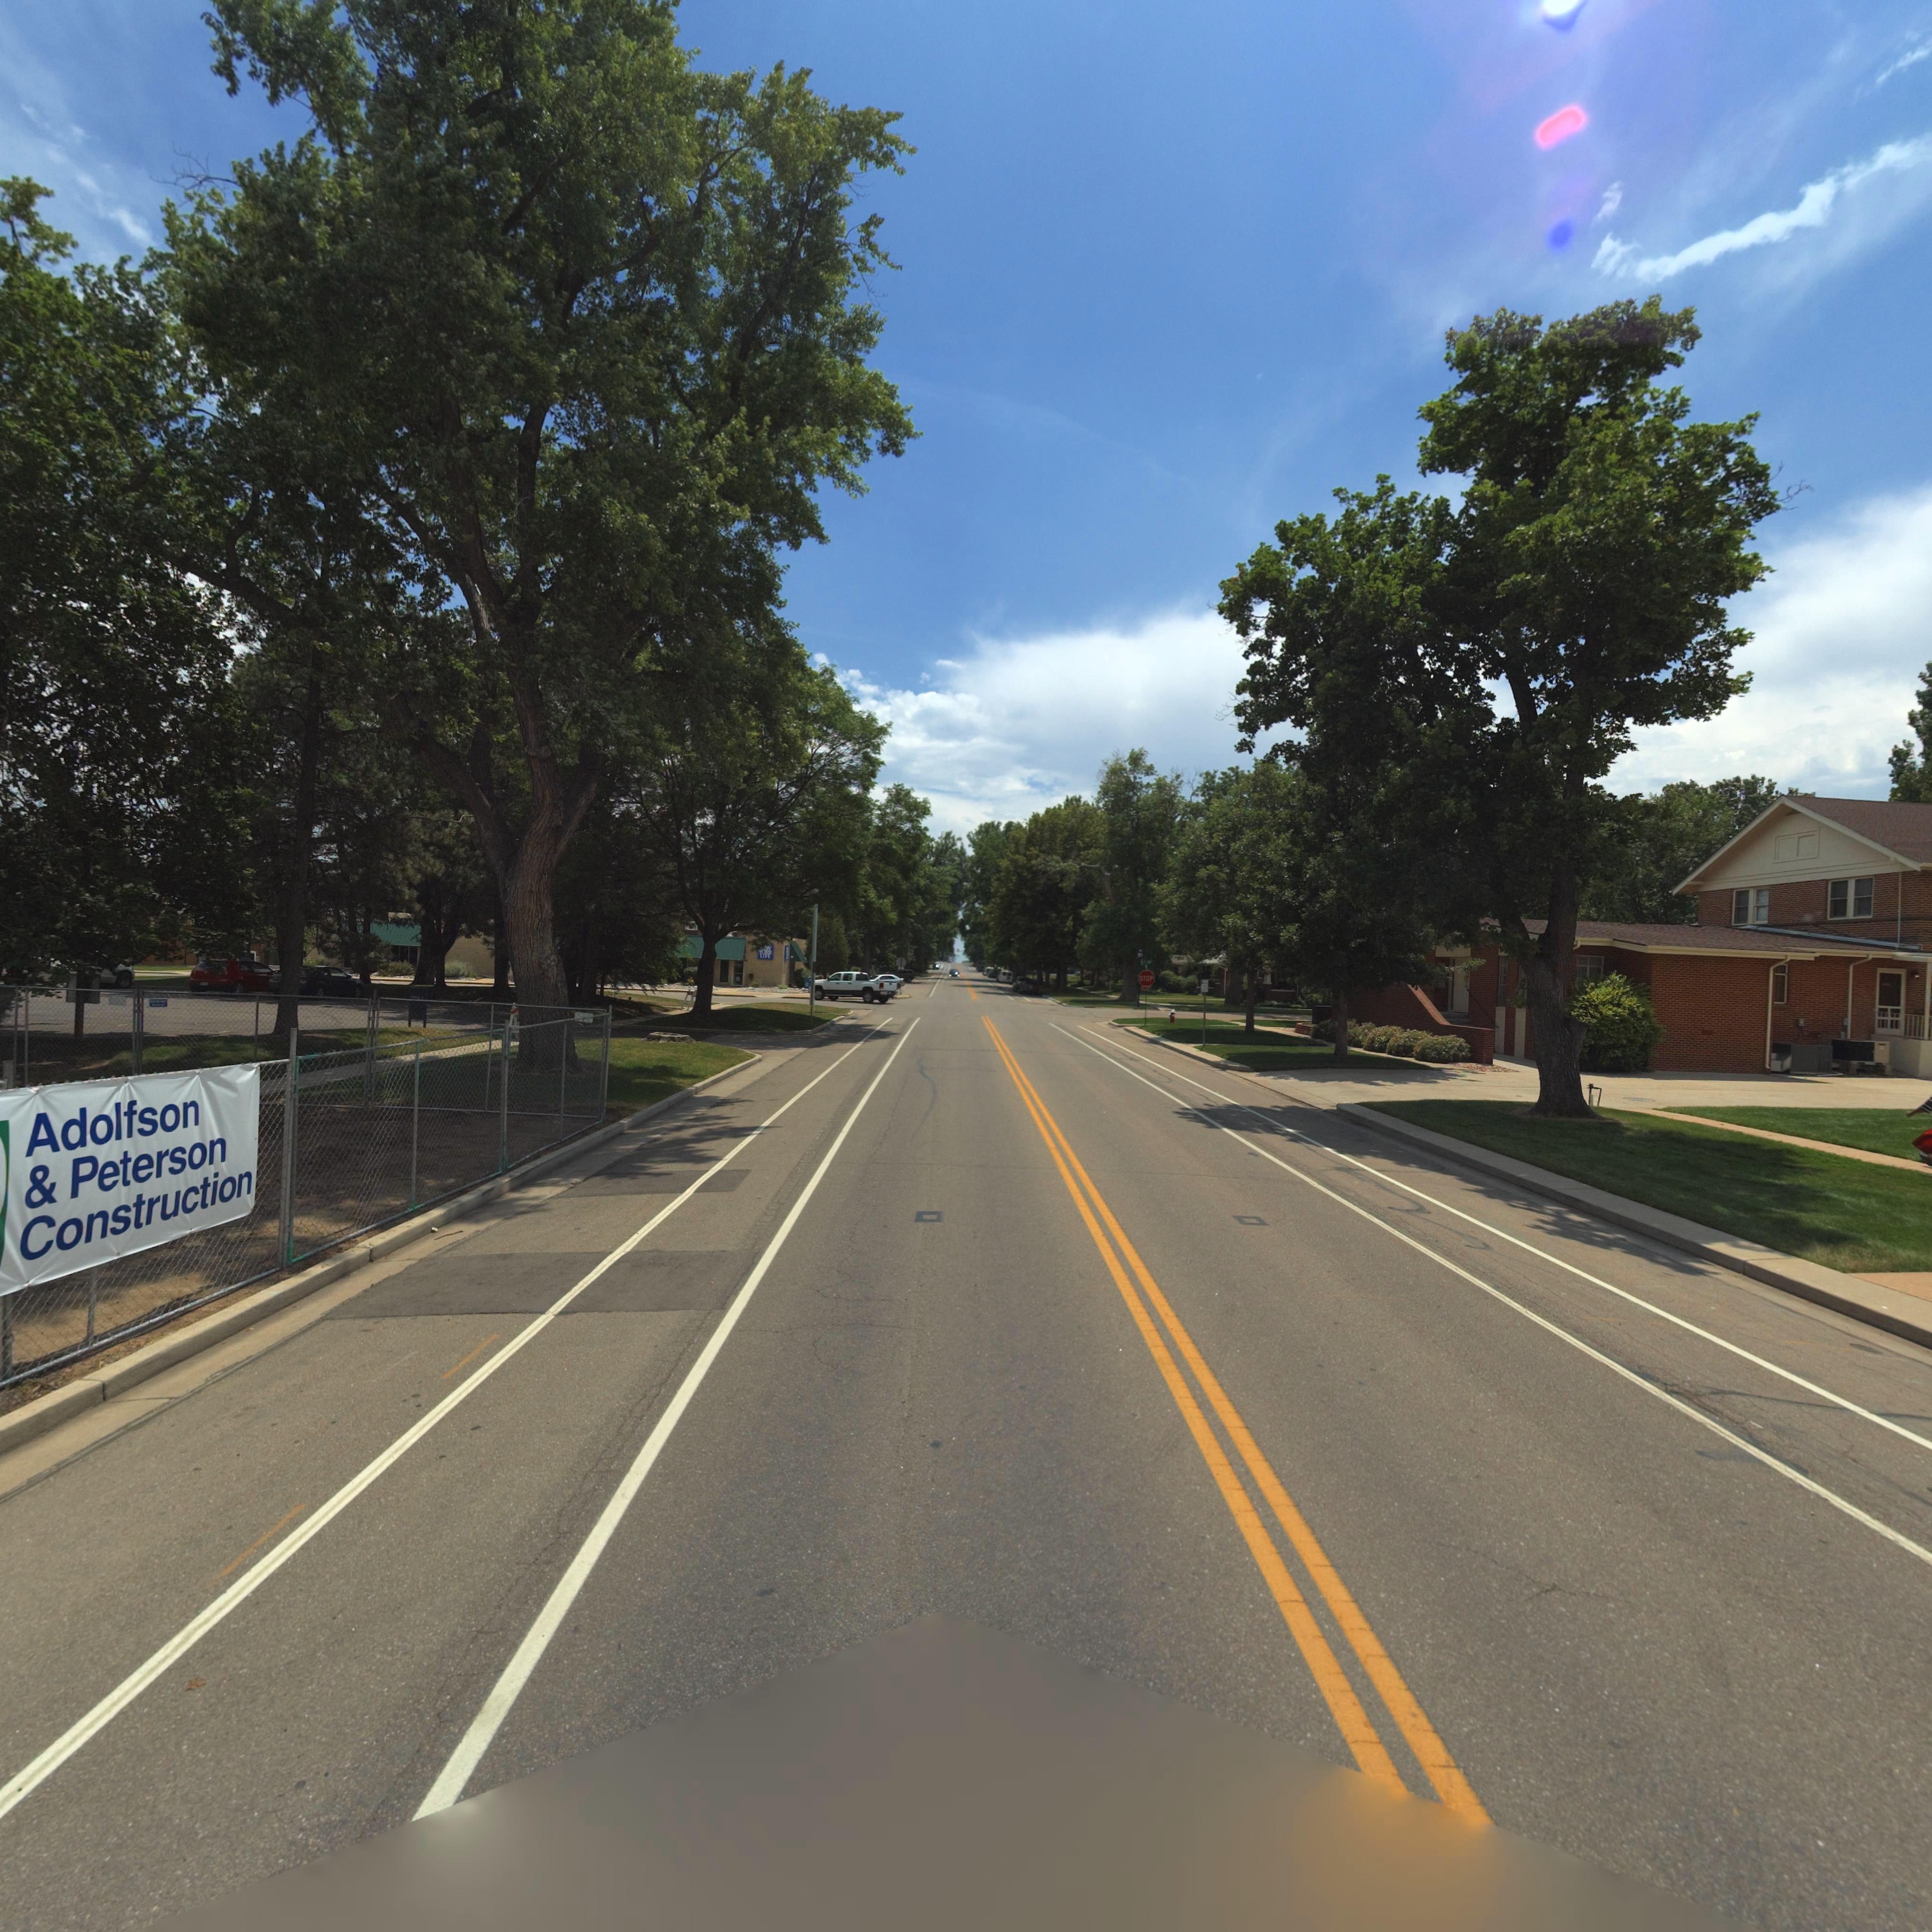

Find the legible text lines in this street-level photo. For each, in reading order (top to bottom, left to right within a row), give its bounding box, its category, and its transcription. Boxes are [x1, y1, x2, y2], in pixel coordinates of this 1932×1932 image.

[764, 945, 772, 950] BusinessName: W
[761, 949, 773, 955] BusinessName: ORK
[760, 953, 771, 958] BusinessName: LIFE
[1140, 960, 1152, 965] StreetName: 5** **